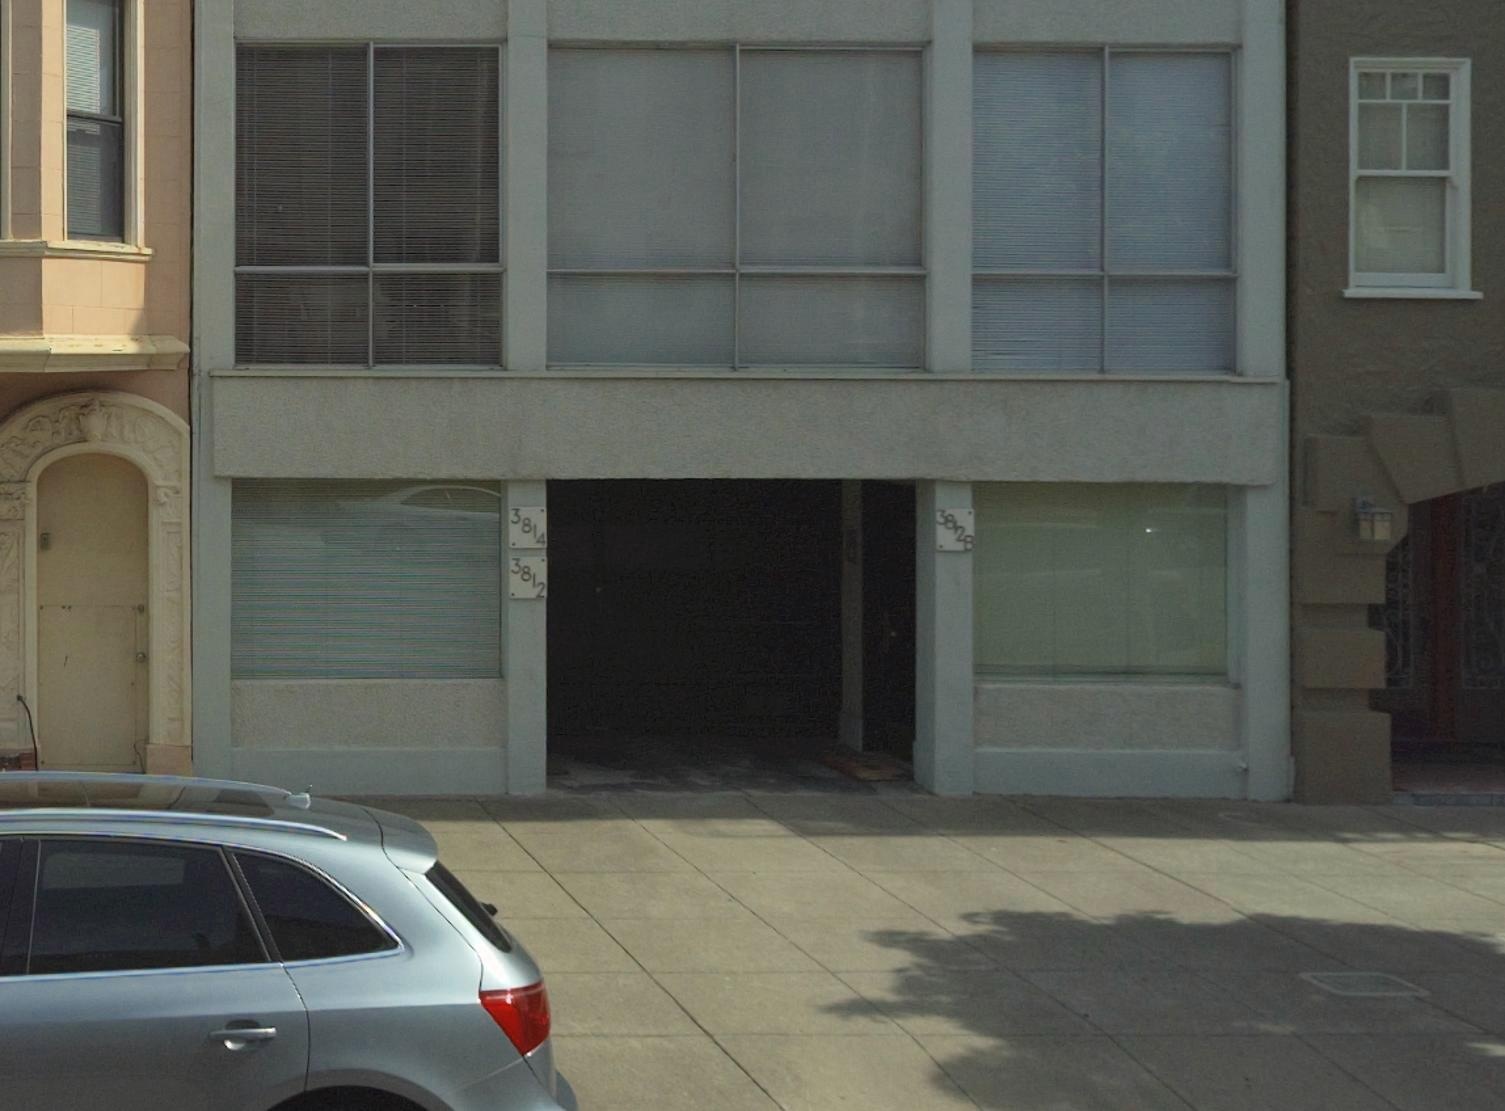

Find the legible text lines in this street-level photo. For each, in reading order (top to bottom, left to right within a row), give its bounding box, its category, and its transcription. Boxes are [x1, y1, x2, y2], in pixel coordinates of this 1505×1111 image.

[509, 506, 548, 550] StreetNumber: 3814
[932, 508, 978, 554] StreetNumber: 3812B
[509, 555, 548, 601] StreetNumber: 3812